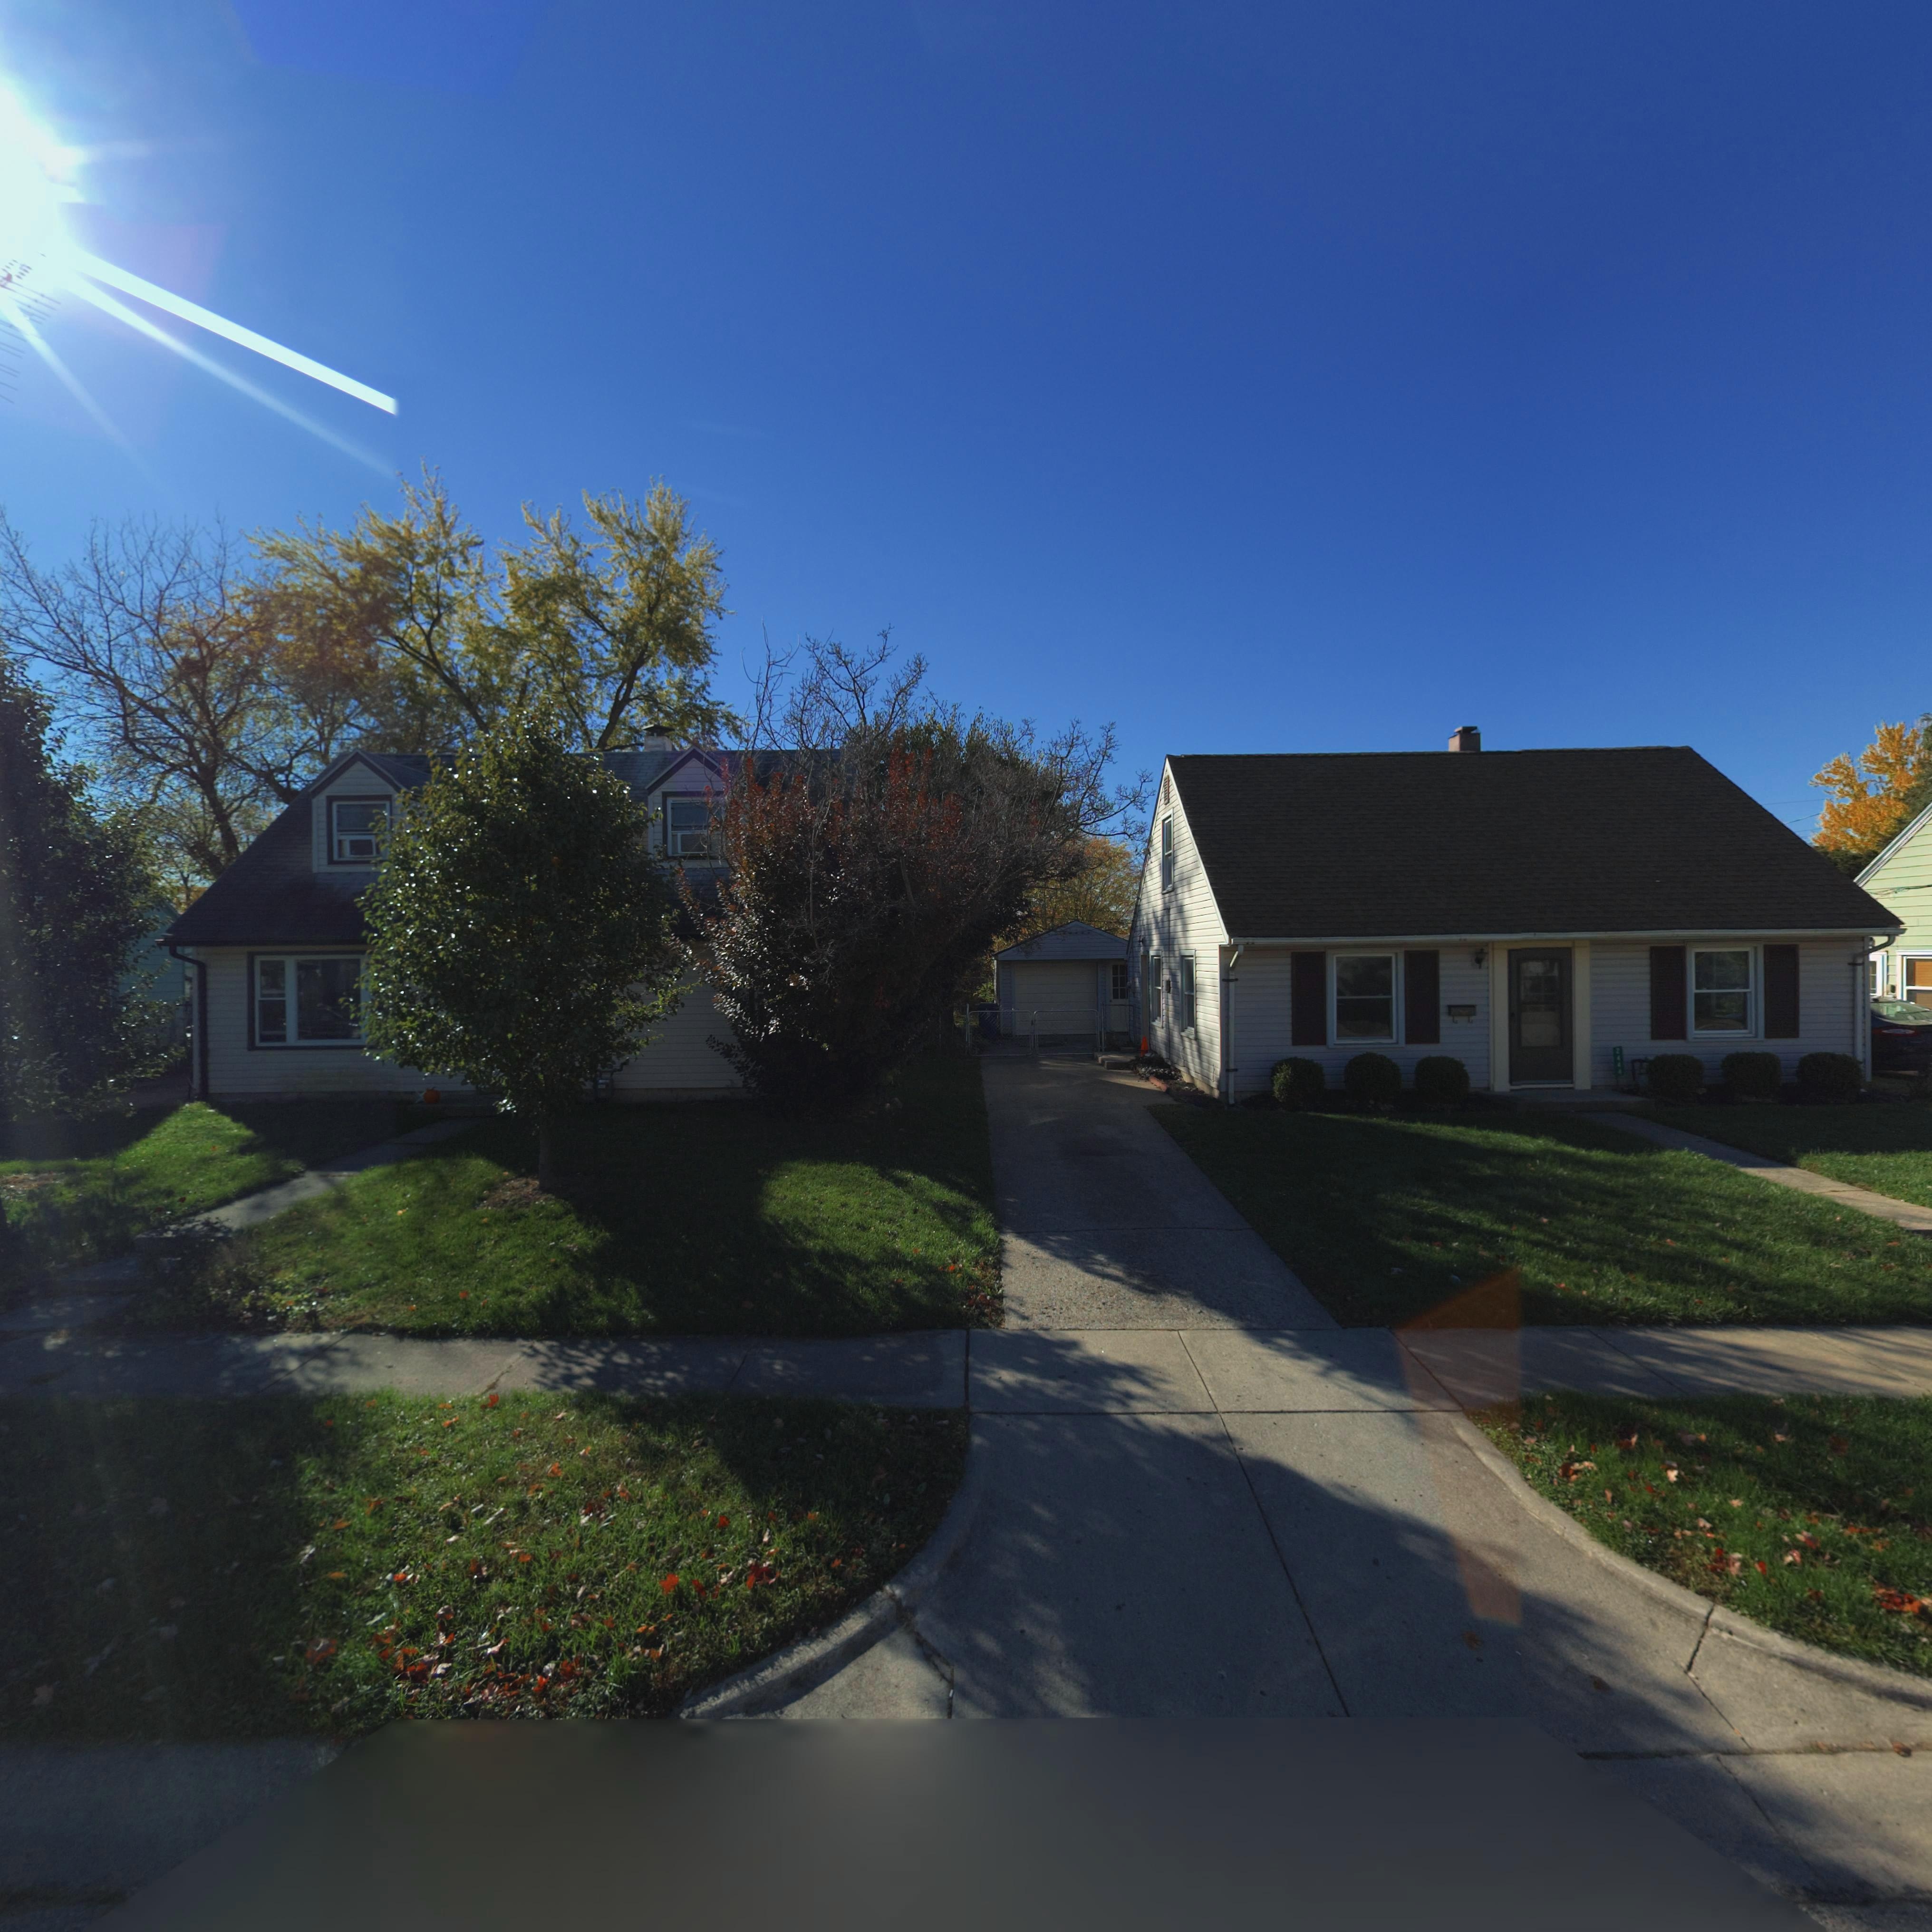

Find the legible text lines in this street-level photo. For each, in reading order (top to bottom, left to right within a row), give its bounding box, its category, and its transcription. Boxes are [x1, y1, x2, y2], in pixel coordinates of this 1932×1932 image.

[1613, 1046, 1624, 1076] StreetNumber: 2444